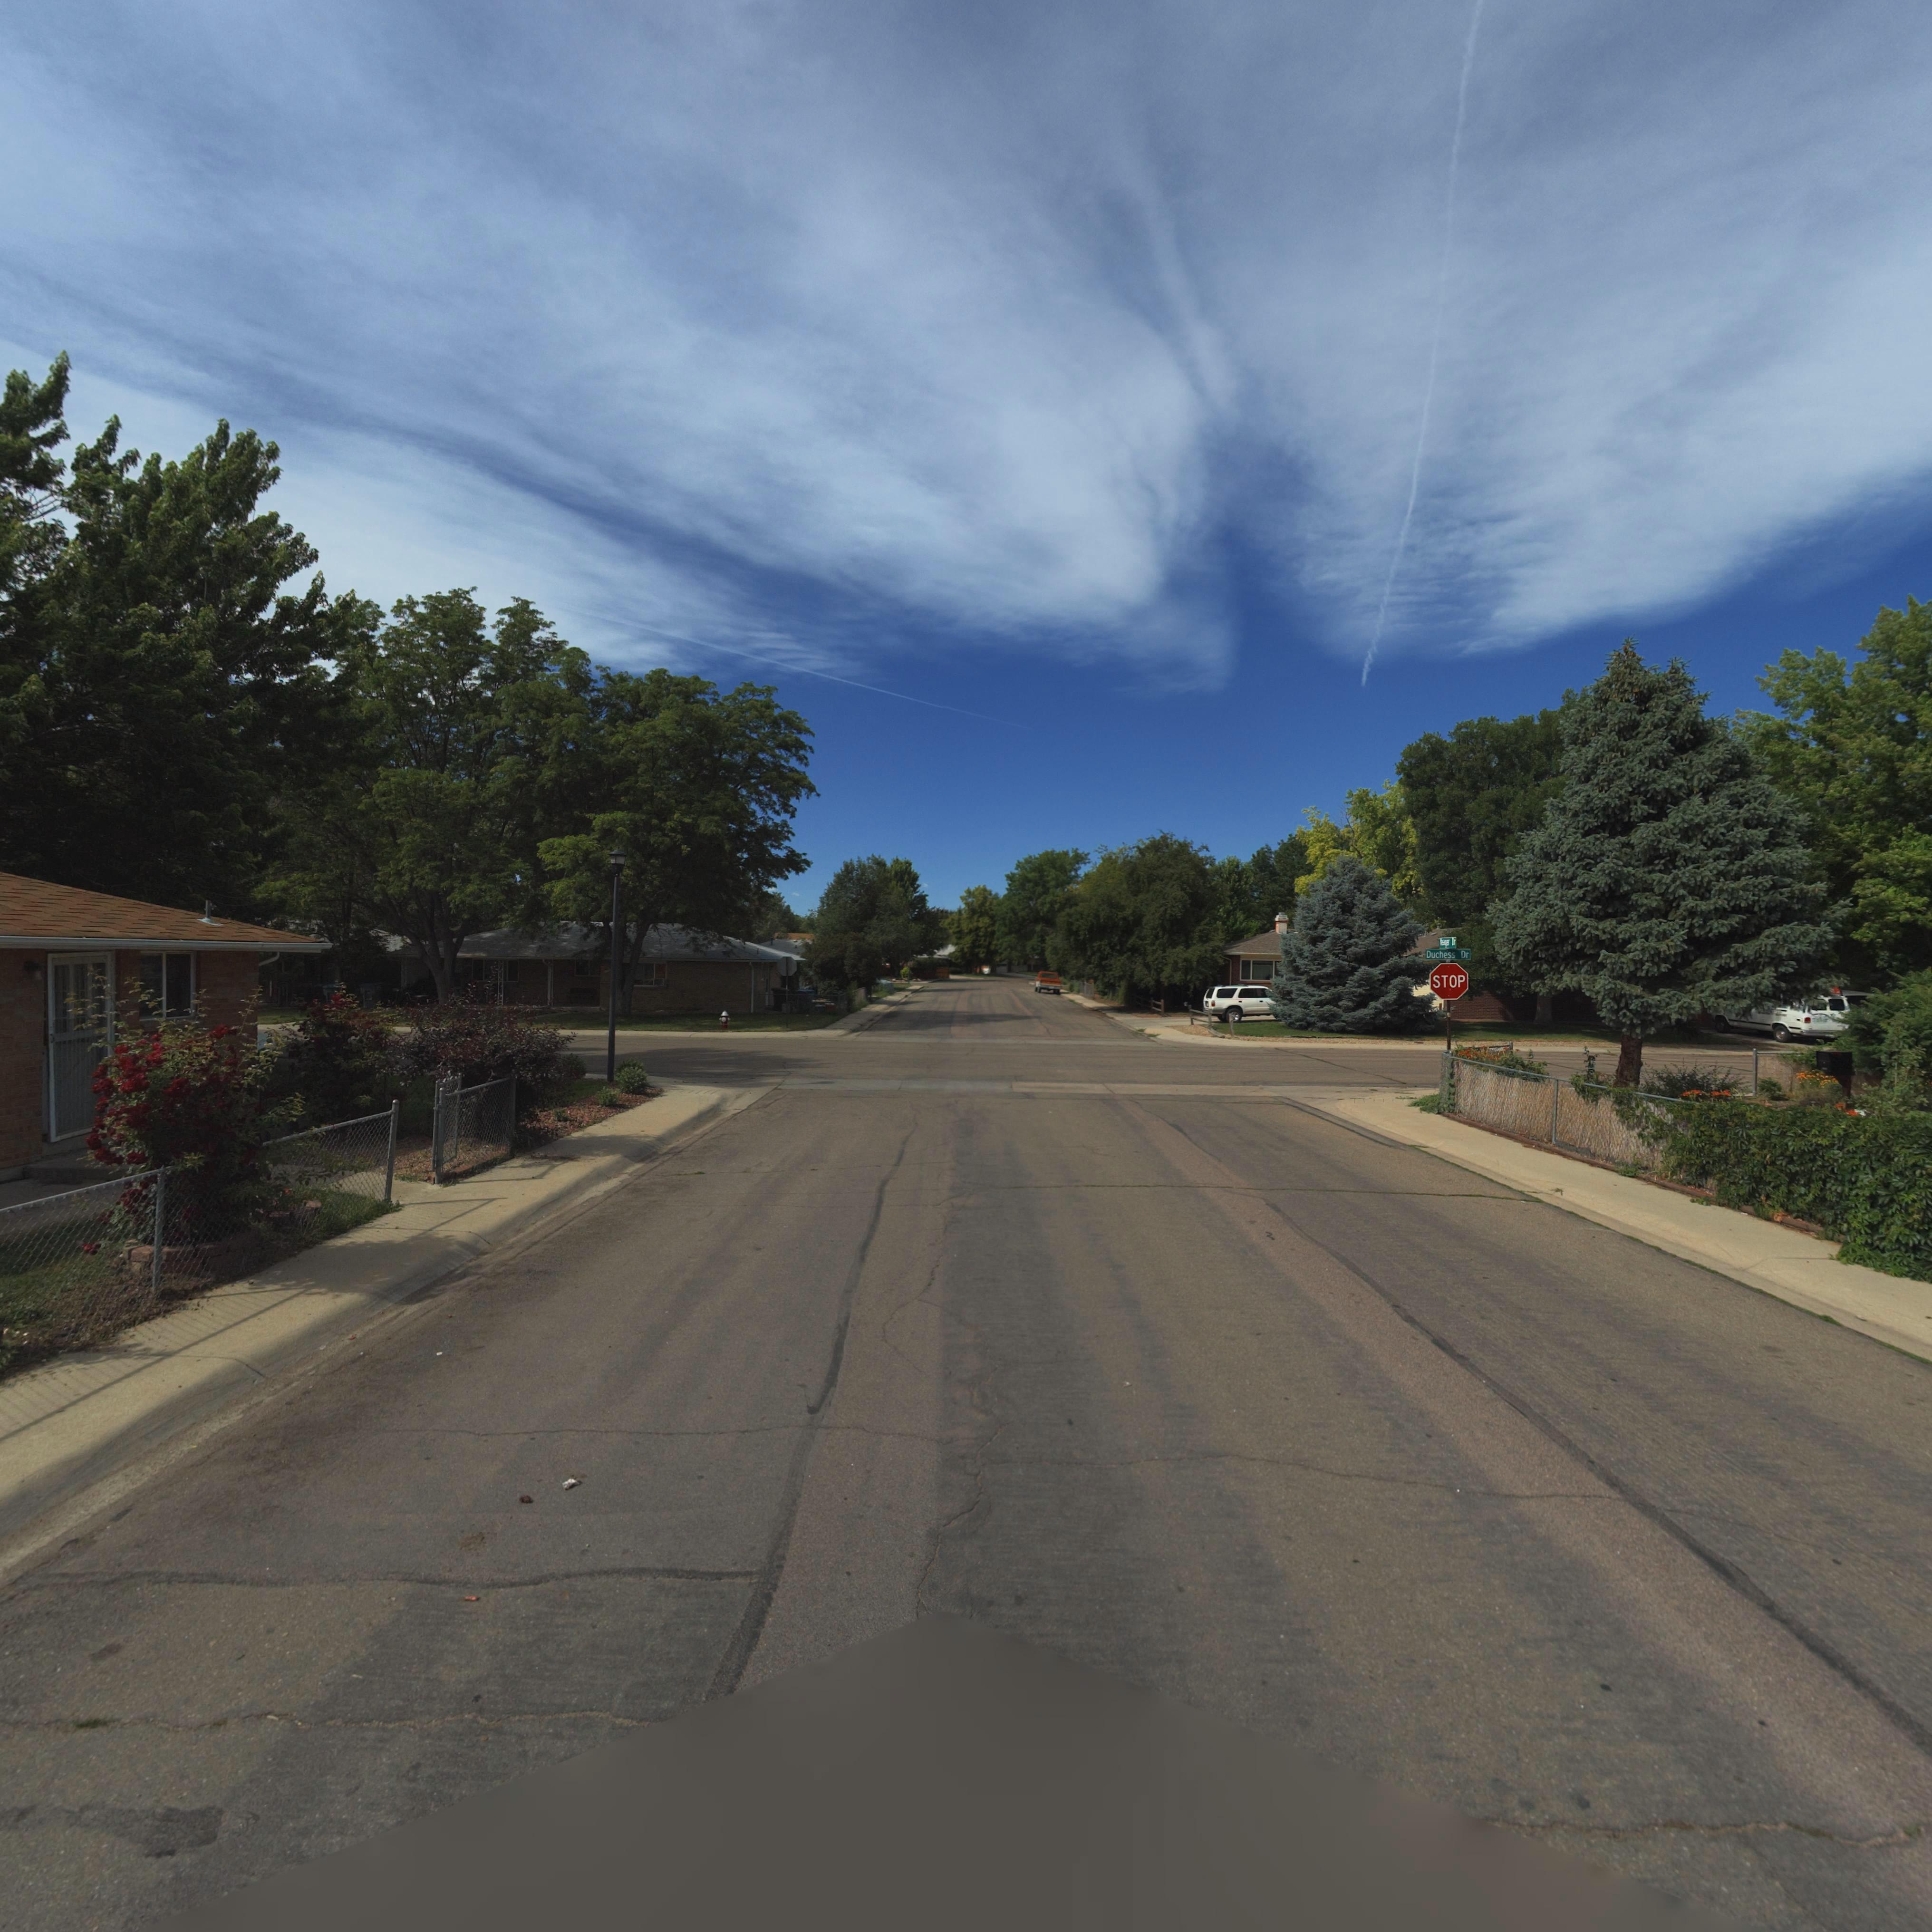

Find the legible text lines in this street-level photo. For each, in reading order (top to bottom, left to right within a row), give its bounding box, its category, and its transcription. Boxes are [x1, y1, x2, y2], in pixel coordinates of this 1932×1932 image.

[1439, 937, 1456, 948] StreetName: Yeager Dr
[1426, 950, 1469, 958] StreetName: Duchess Dr